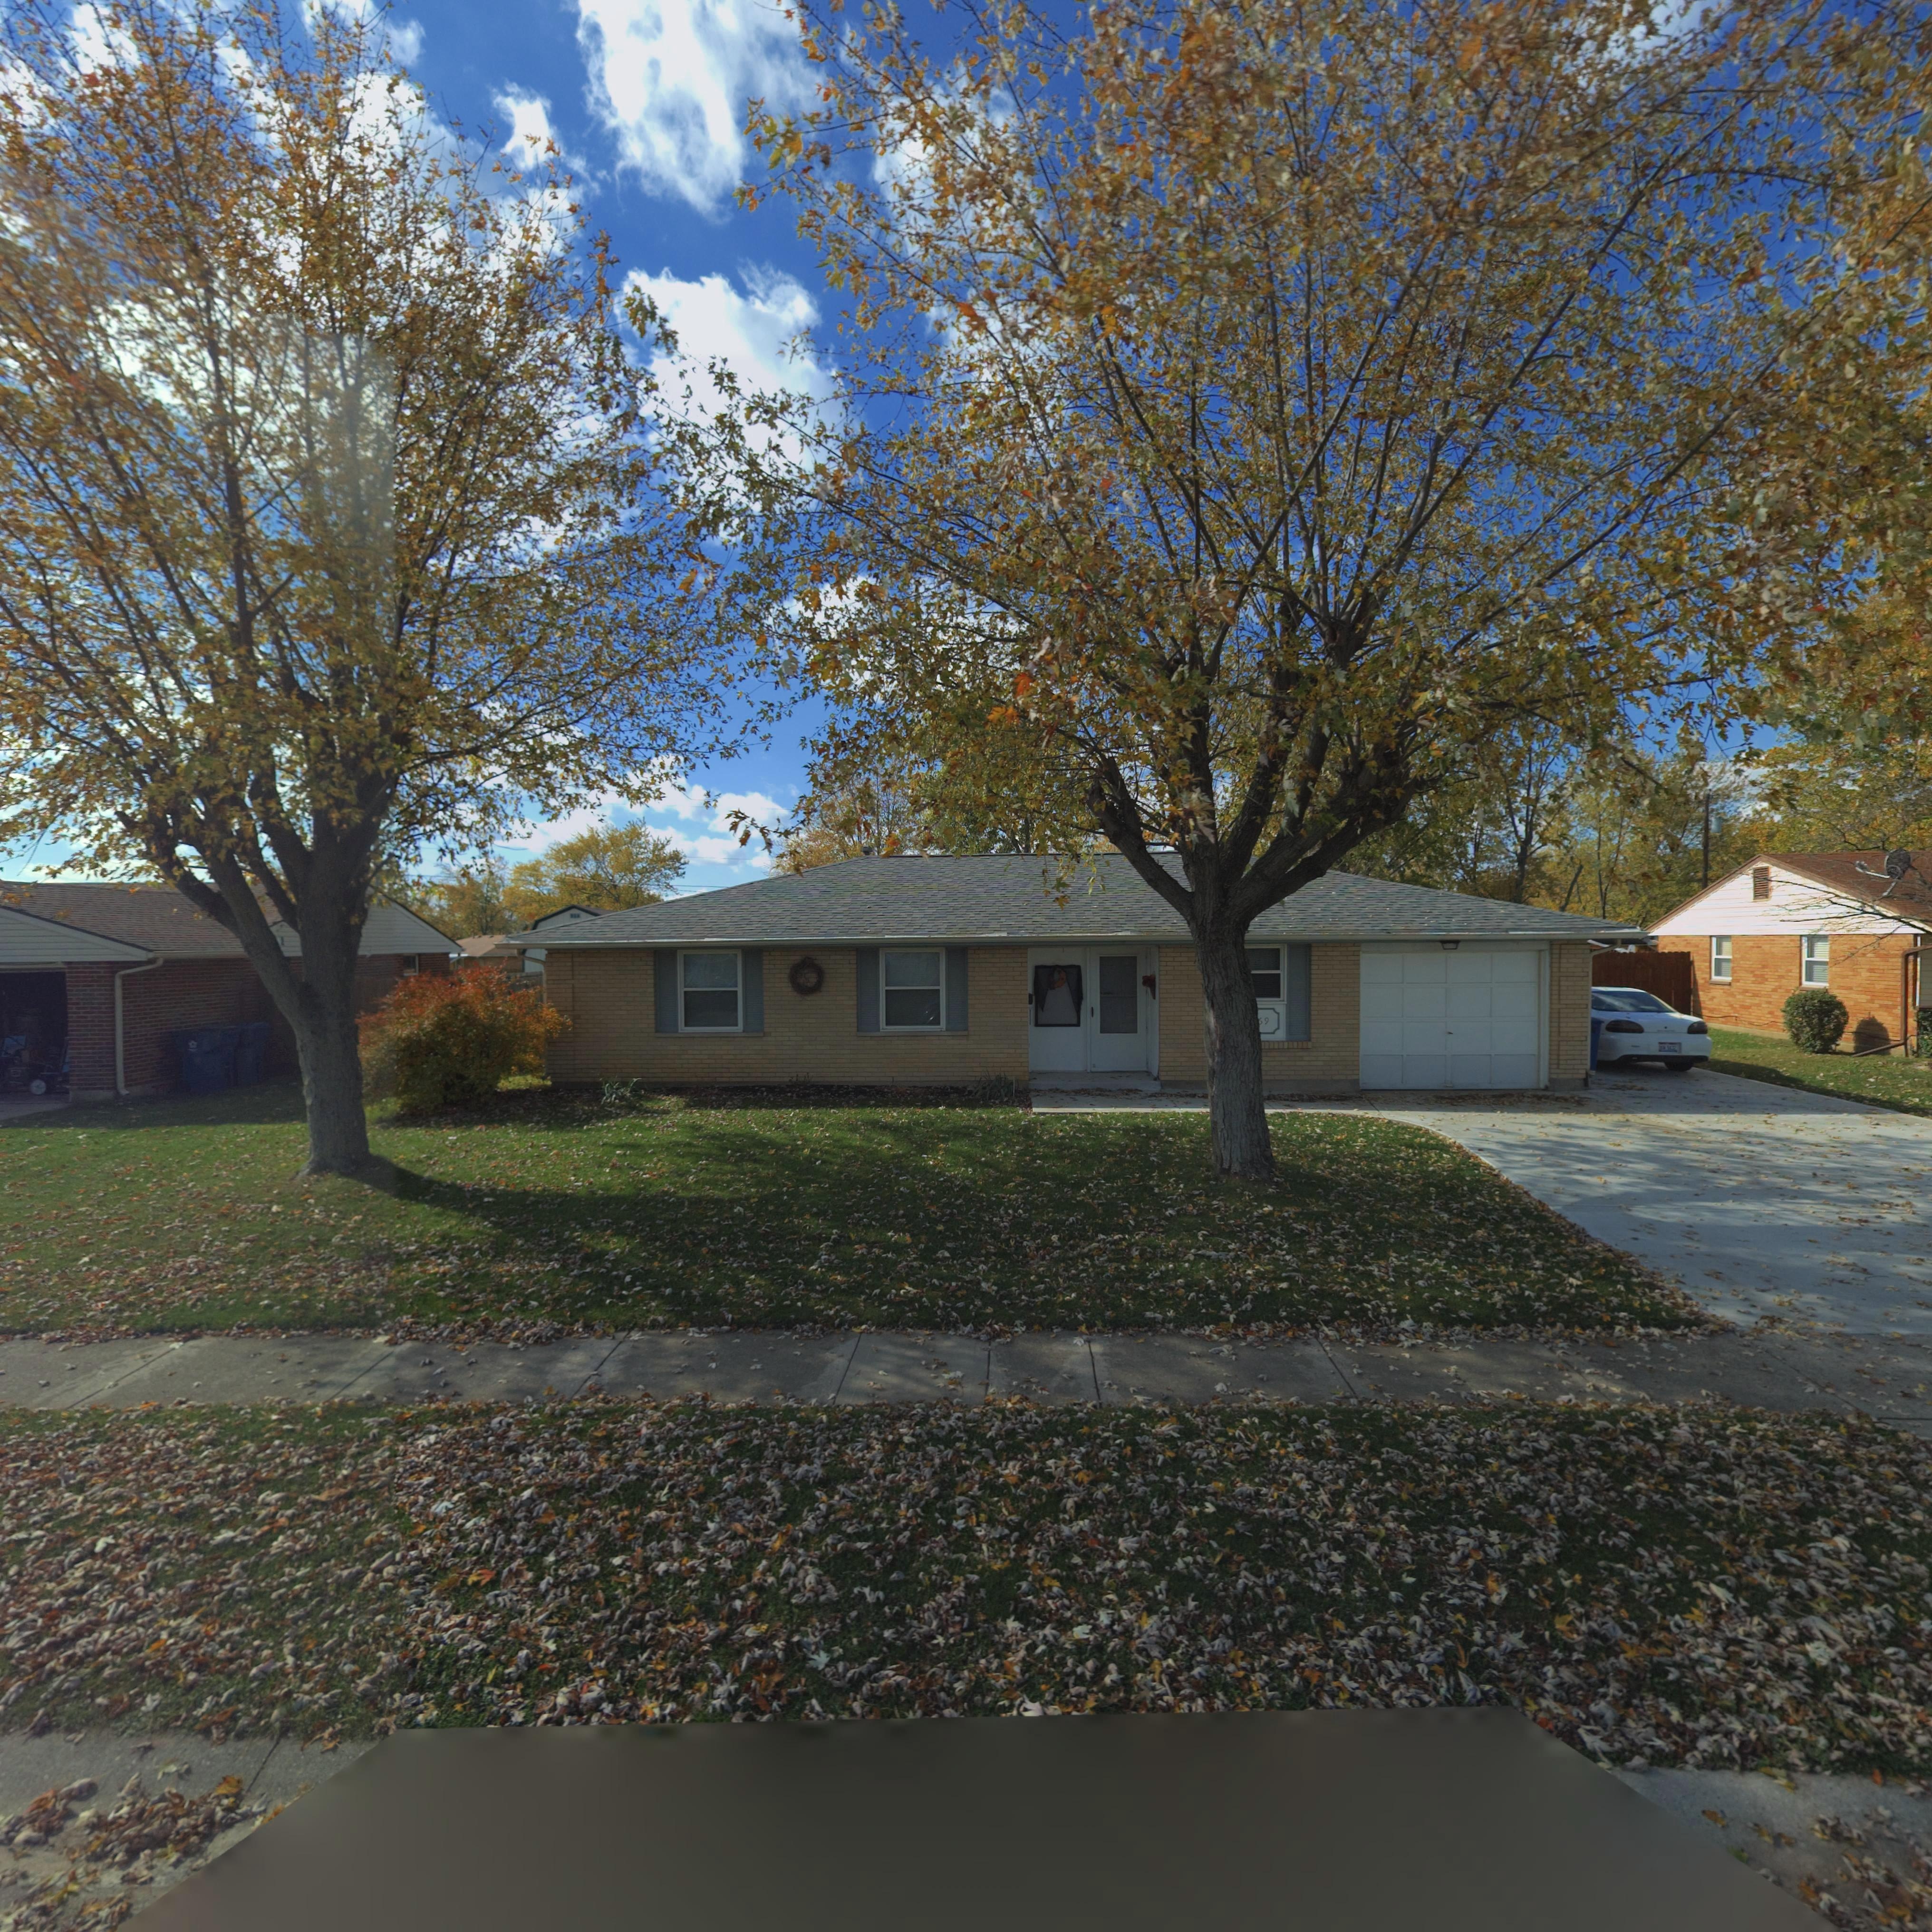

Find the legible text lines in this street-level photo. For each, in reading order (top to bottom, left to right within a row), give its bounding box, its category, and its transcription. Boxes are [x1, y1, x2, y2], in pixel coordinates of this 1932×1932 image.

[1257, 1016, 1269, 1025] StreetNumber: 69